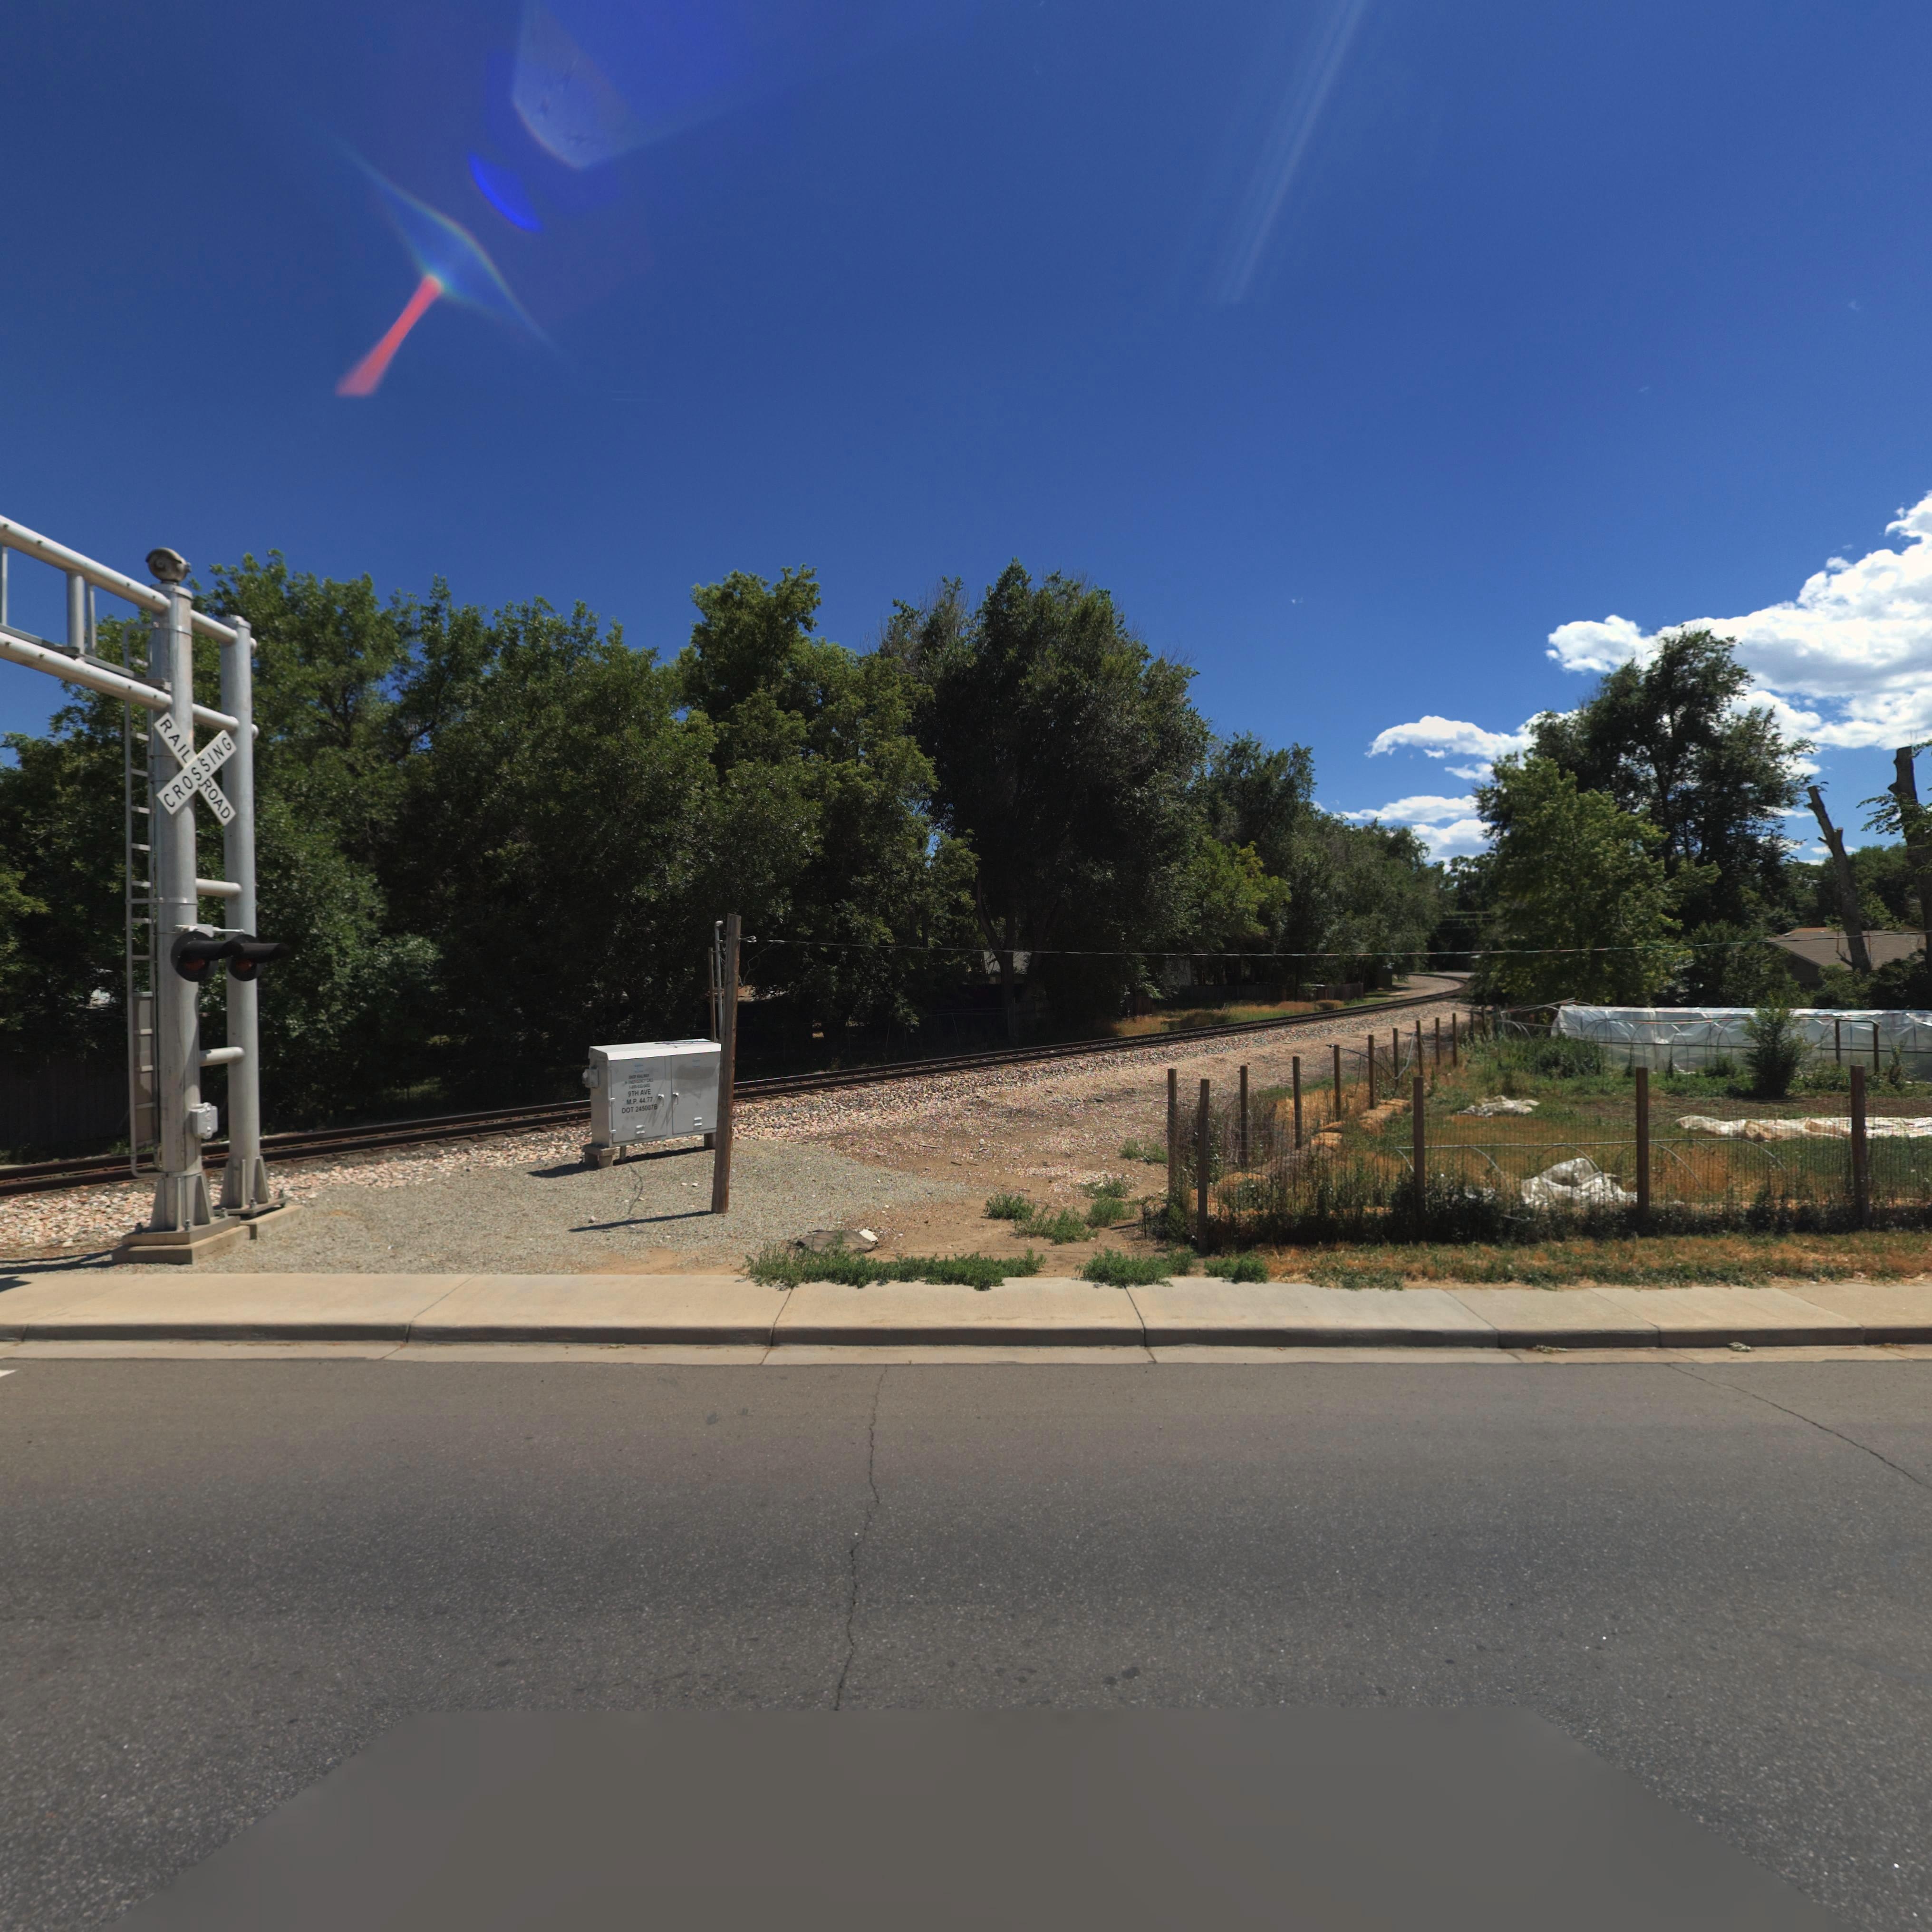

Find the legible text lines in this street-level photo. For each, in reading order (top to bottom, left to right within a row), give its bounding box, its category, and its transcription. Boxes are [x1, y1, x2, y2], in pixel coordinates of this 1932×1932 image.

[628, 1089, 650, 1097] StreetName: 9TH AVE